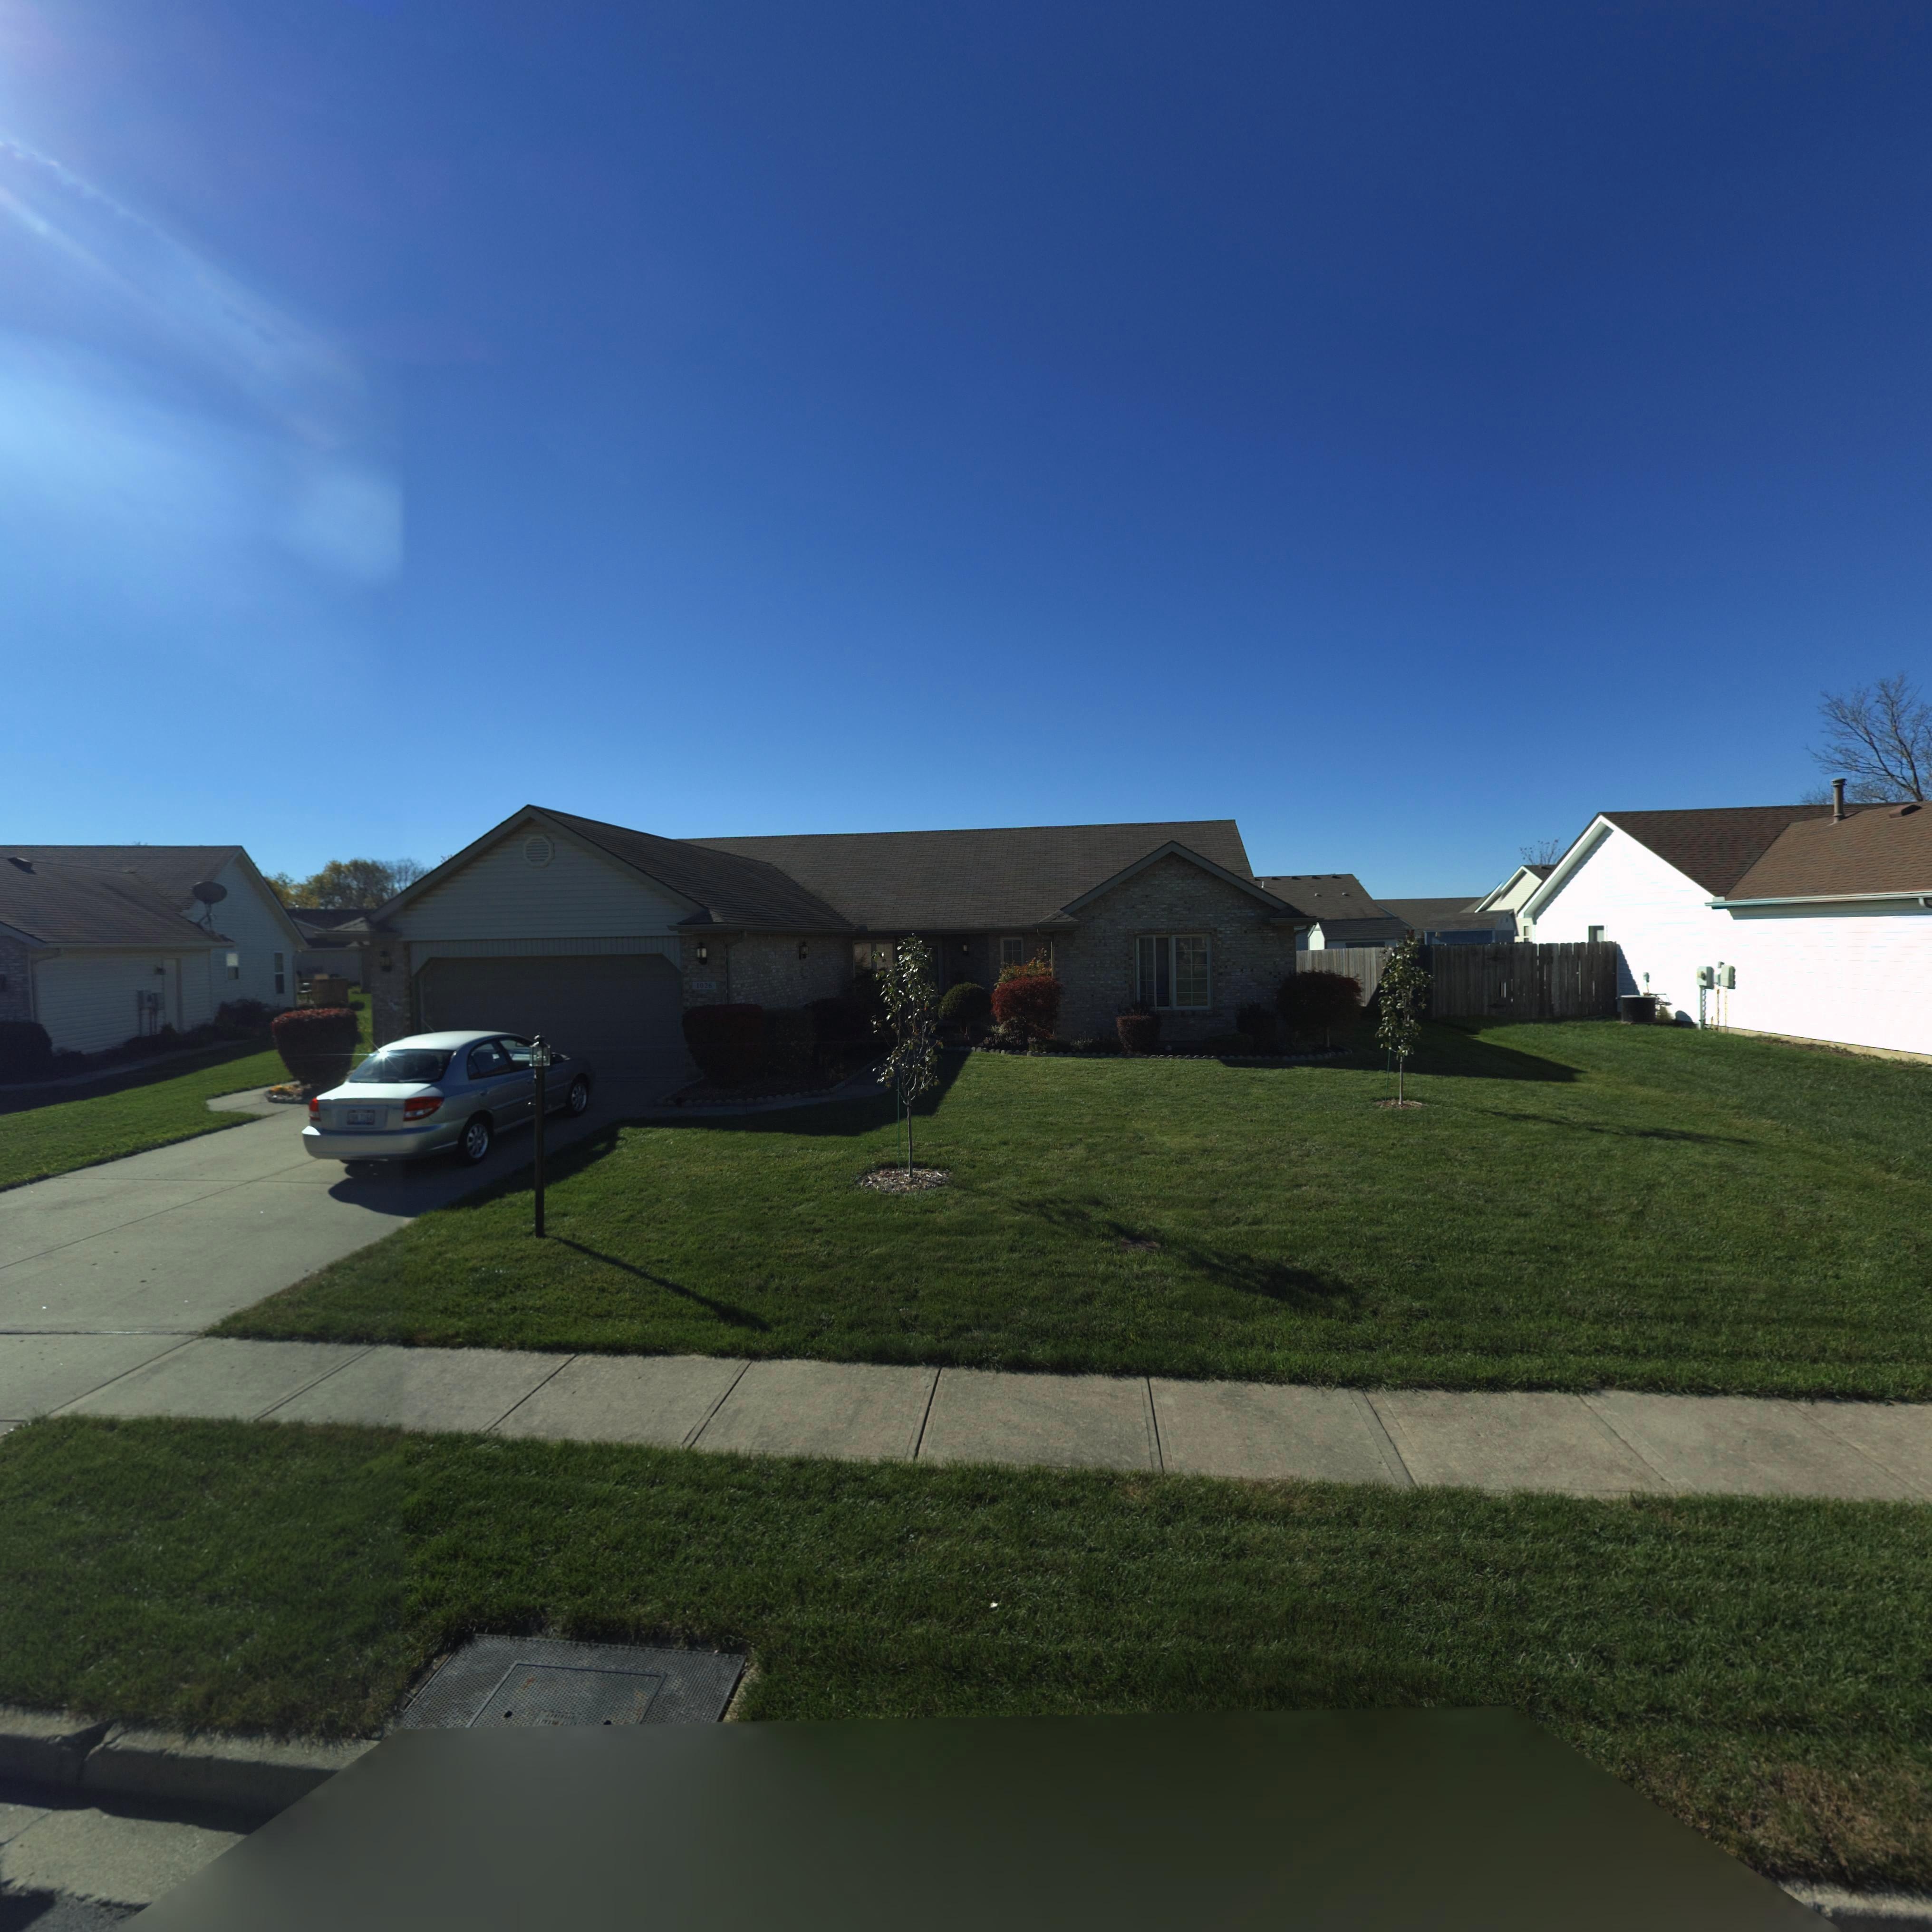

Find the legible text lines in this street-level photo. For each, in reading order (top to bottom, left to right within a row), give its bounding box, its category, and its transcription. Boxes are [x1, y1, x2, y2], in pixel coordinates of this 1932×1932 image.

[696, 982, 713, 990] StreetNumber: 1026